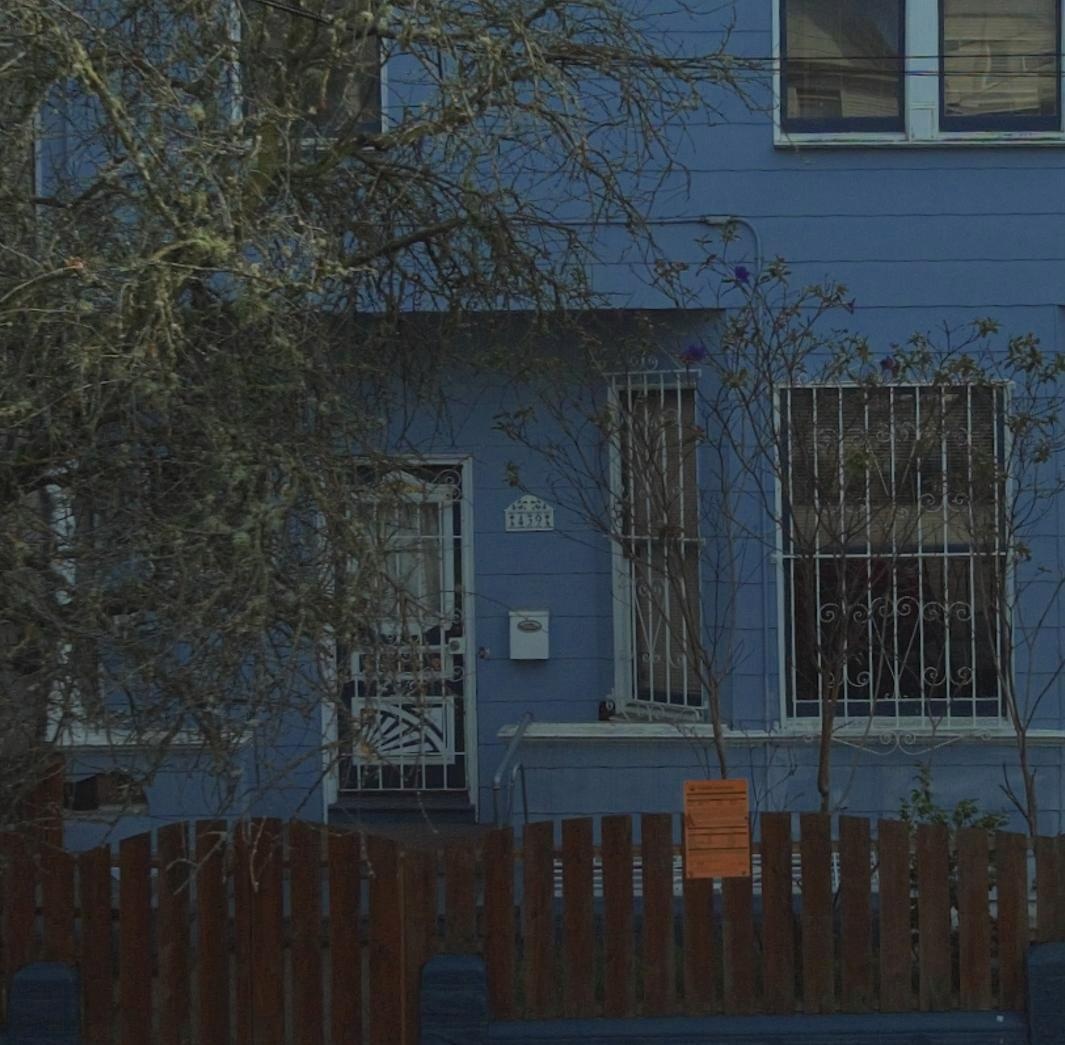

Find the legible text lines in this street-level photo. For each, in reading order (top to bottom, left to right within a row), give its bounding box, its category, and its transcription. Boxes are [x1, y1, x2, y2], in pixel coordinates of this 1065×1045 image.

[515, 513, 543, 527] StreetNumber: 439